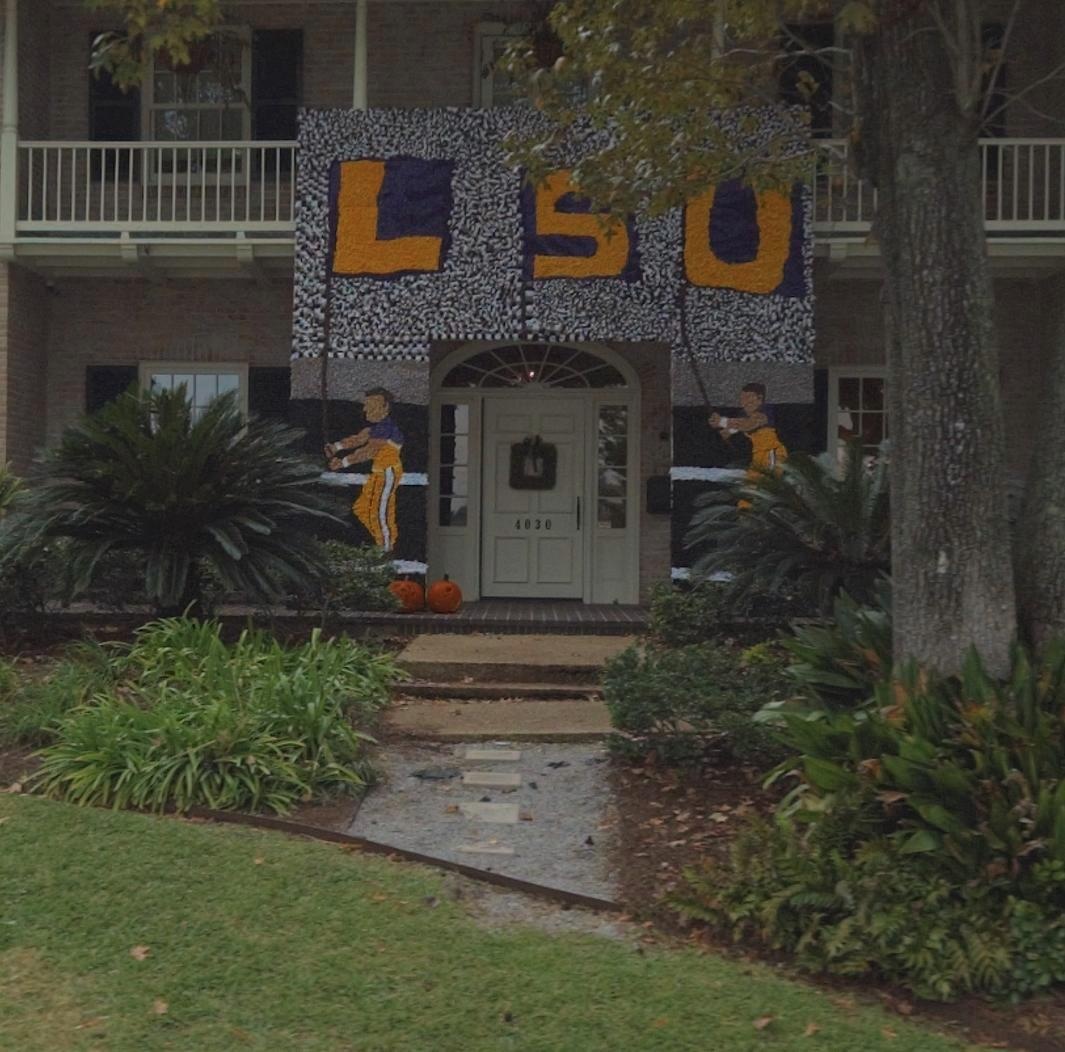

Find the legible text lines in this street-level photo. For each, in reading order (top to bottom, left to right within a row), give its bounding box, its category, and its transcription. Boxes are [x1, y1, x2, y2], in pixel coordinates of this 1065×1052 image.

[331, 151, 800, 297] None: LSU
[514, 519, 553, 531] StreetNumber: 4030